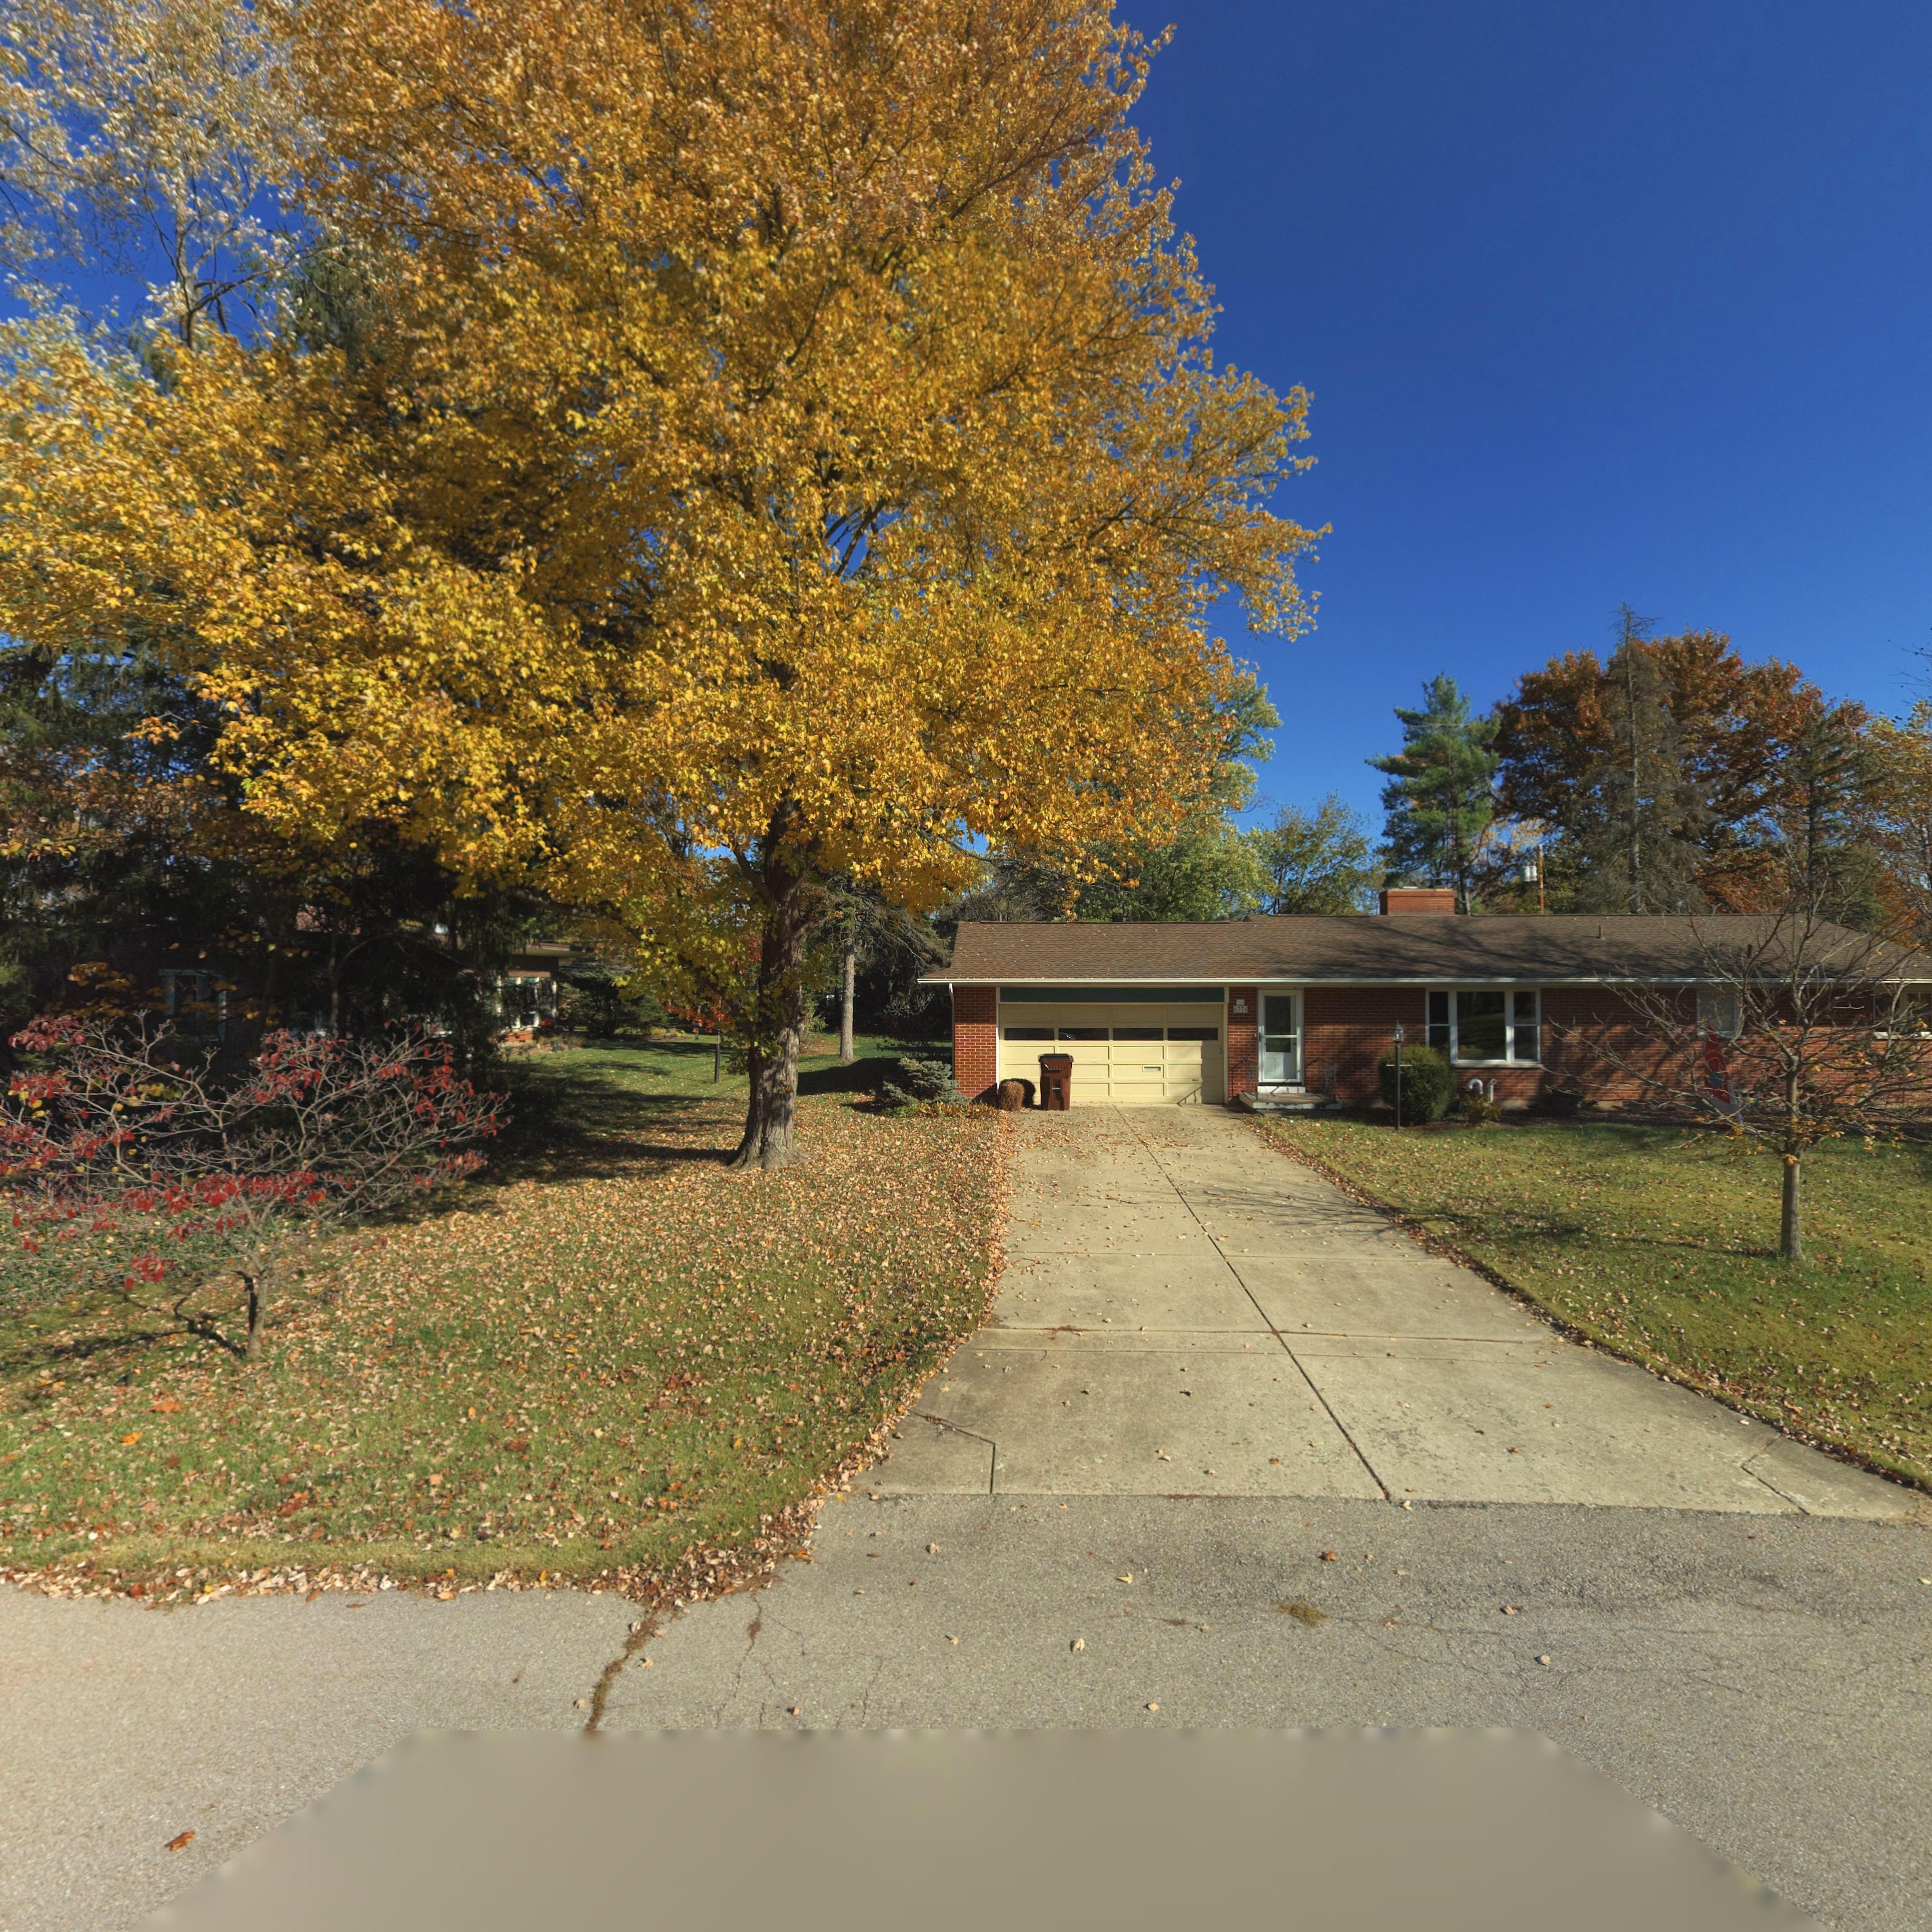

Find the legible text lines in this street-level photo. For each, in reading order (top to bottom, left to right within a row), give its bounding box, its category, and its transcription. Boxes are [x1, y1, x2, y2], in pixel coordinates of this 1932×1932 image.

[1234, 1006, 1248, 1013] StreetNumber: 6376